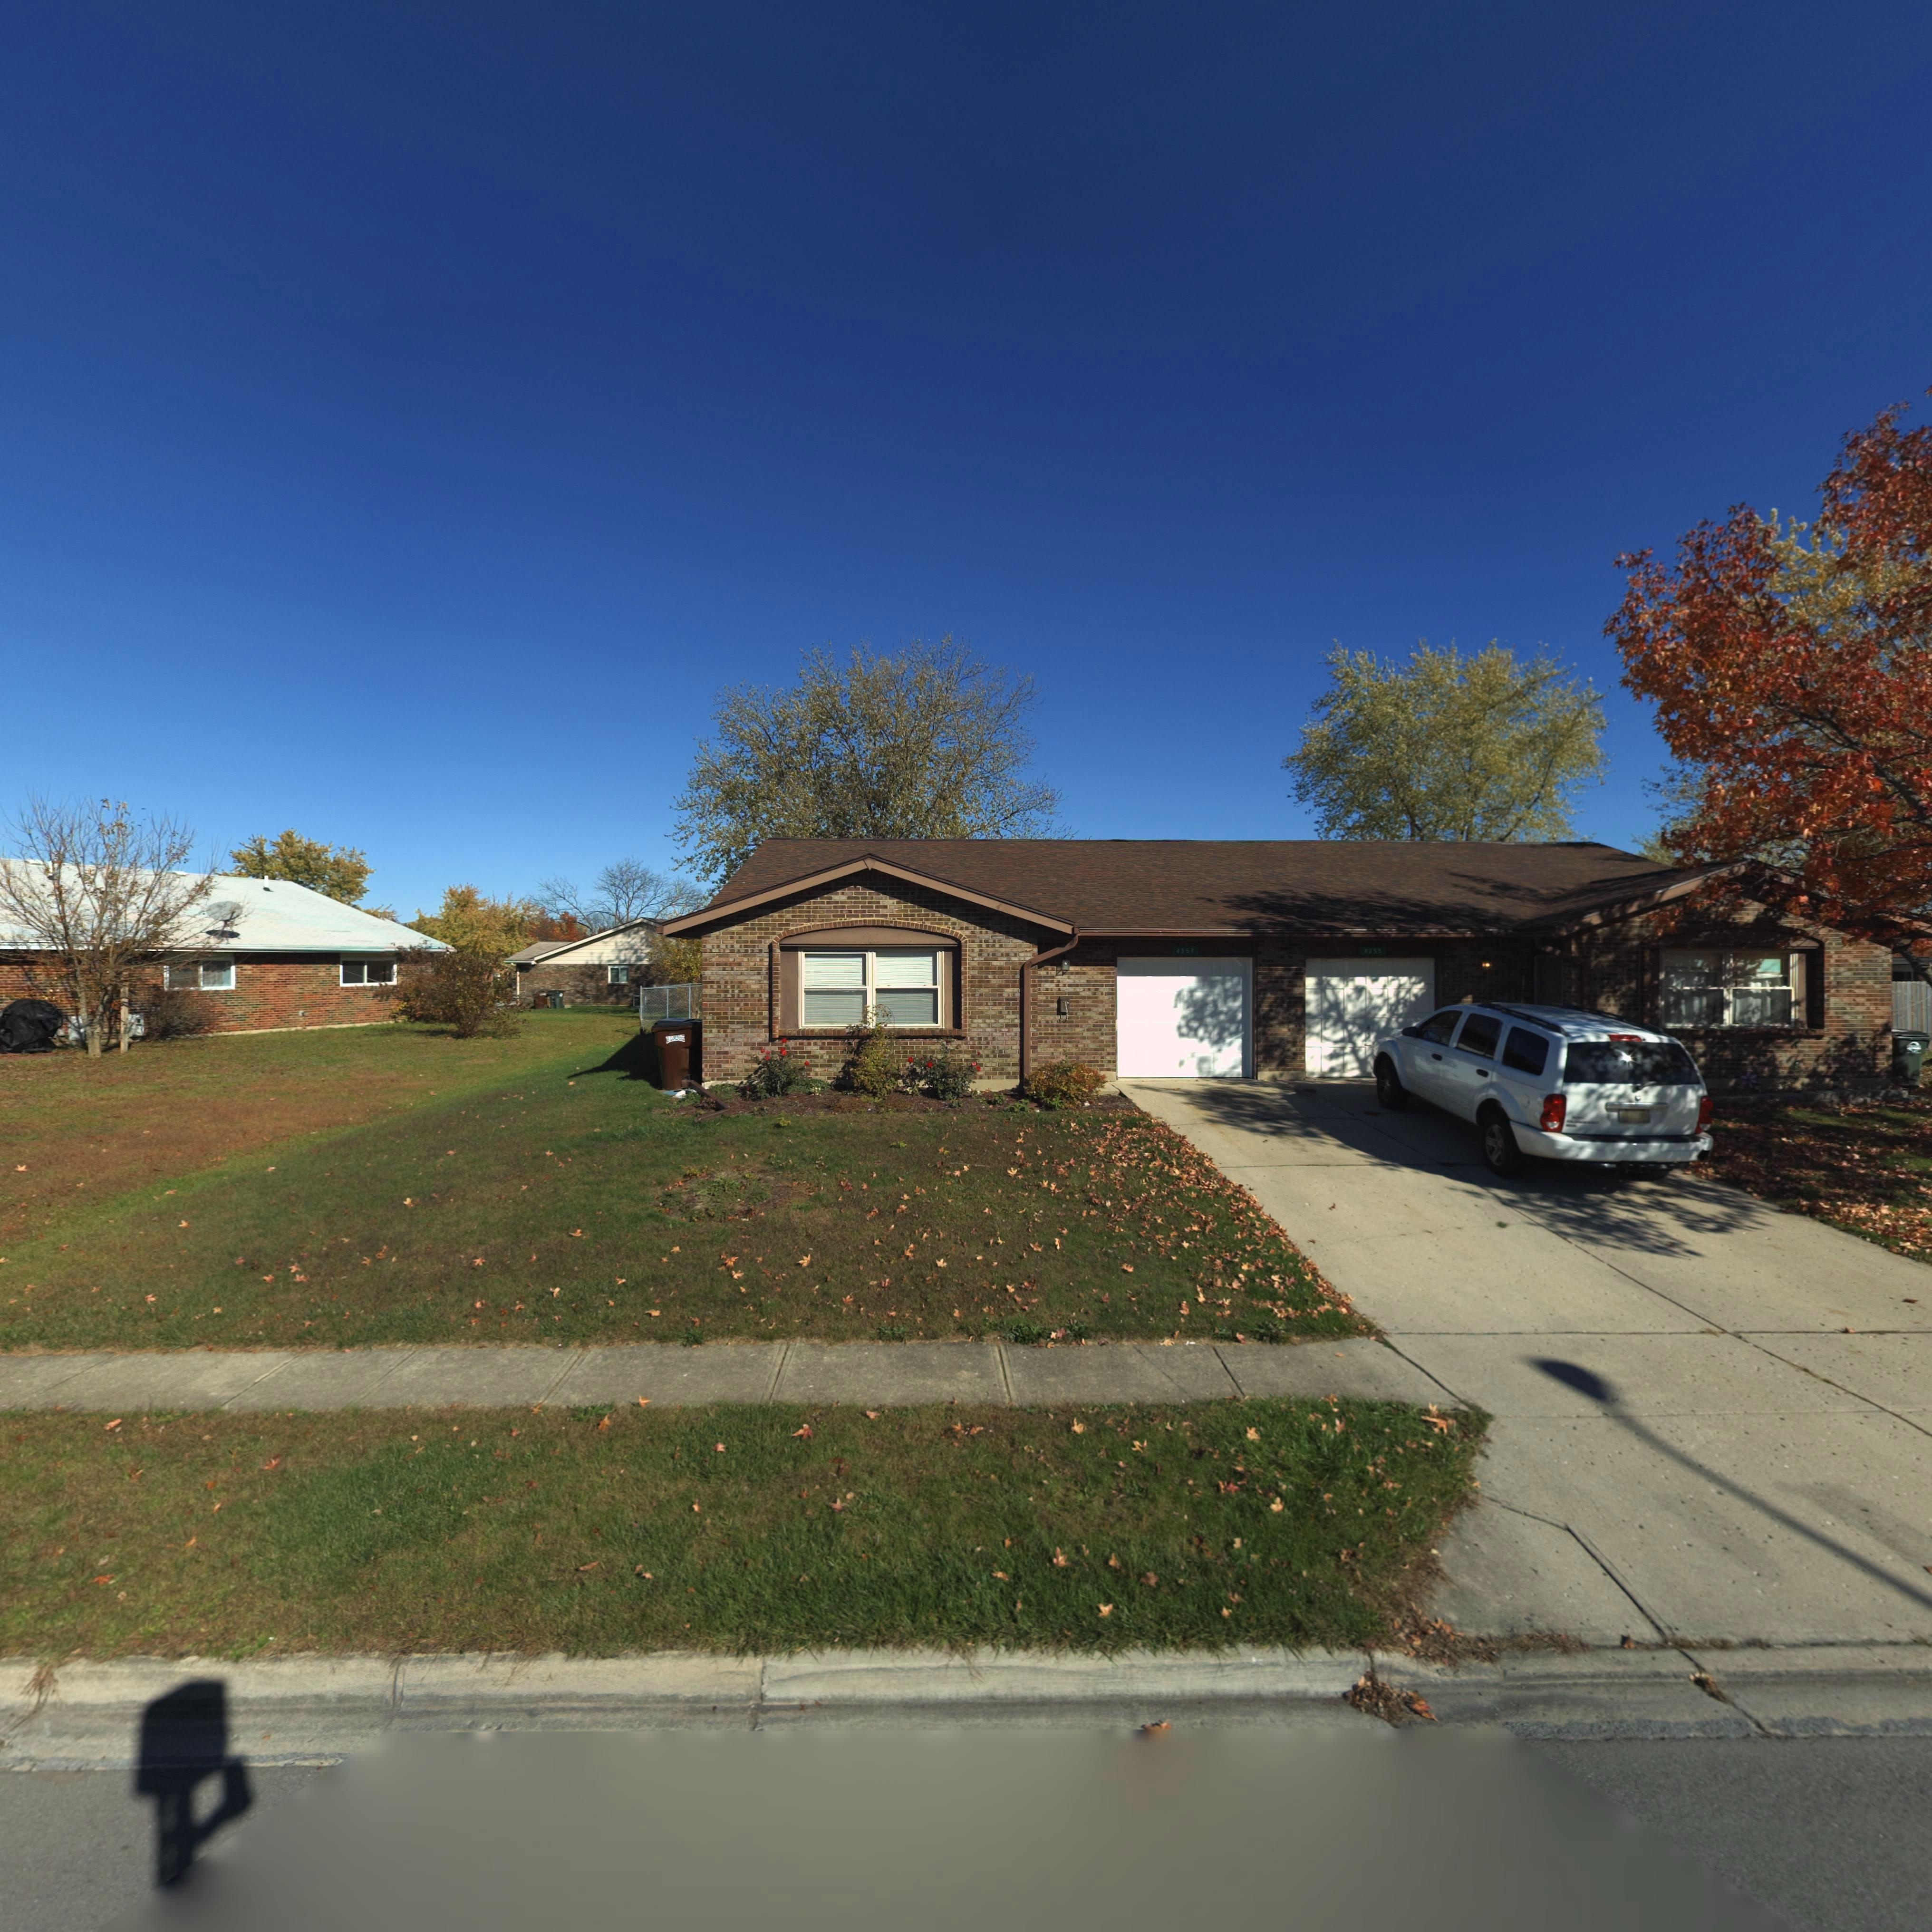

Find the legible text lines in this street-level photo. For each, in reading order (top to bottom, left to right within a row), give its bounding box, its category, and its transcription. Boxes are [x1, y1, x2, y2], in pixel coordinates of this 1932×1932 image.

[1175, 948, 1195, 955] StreetNumber: 4357
[1363, 947, 1382, 954] StreetNumber: 4355